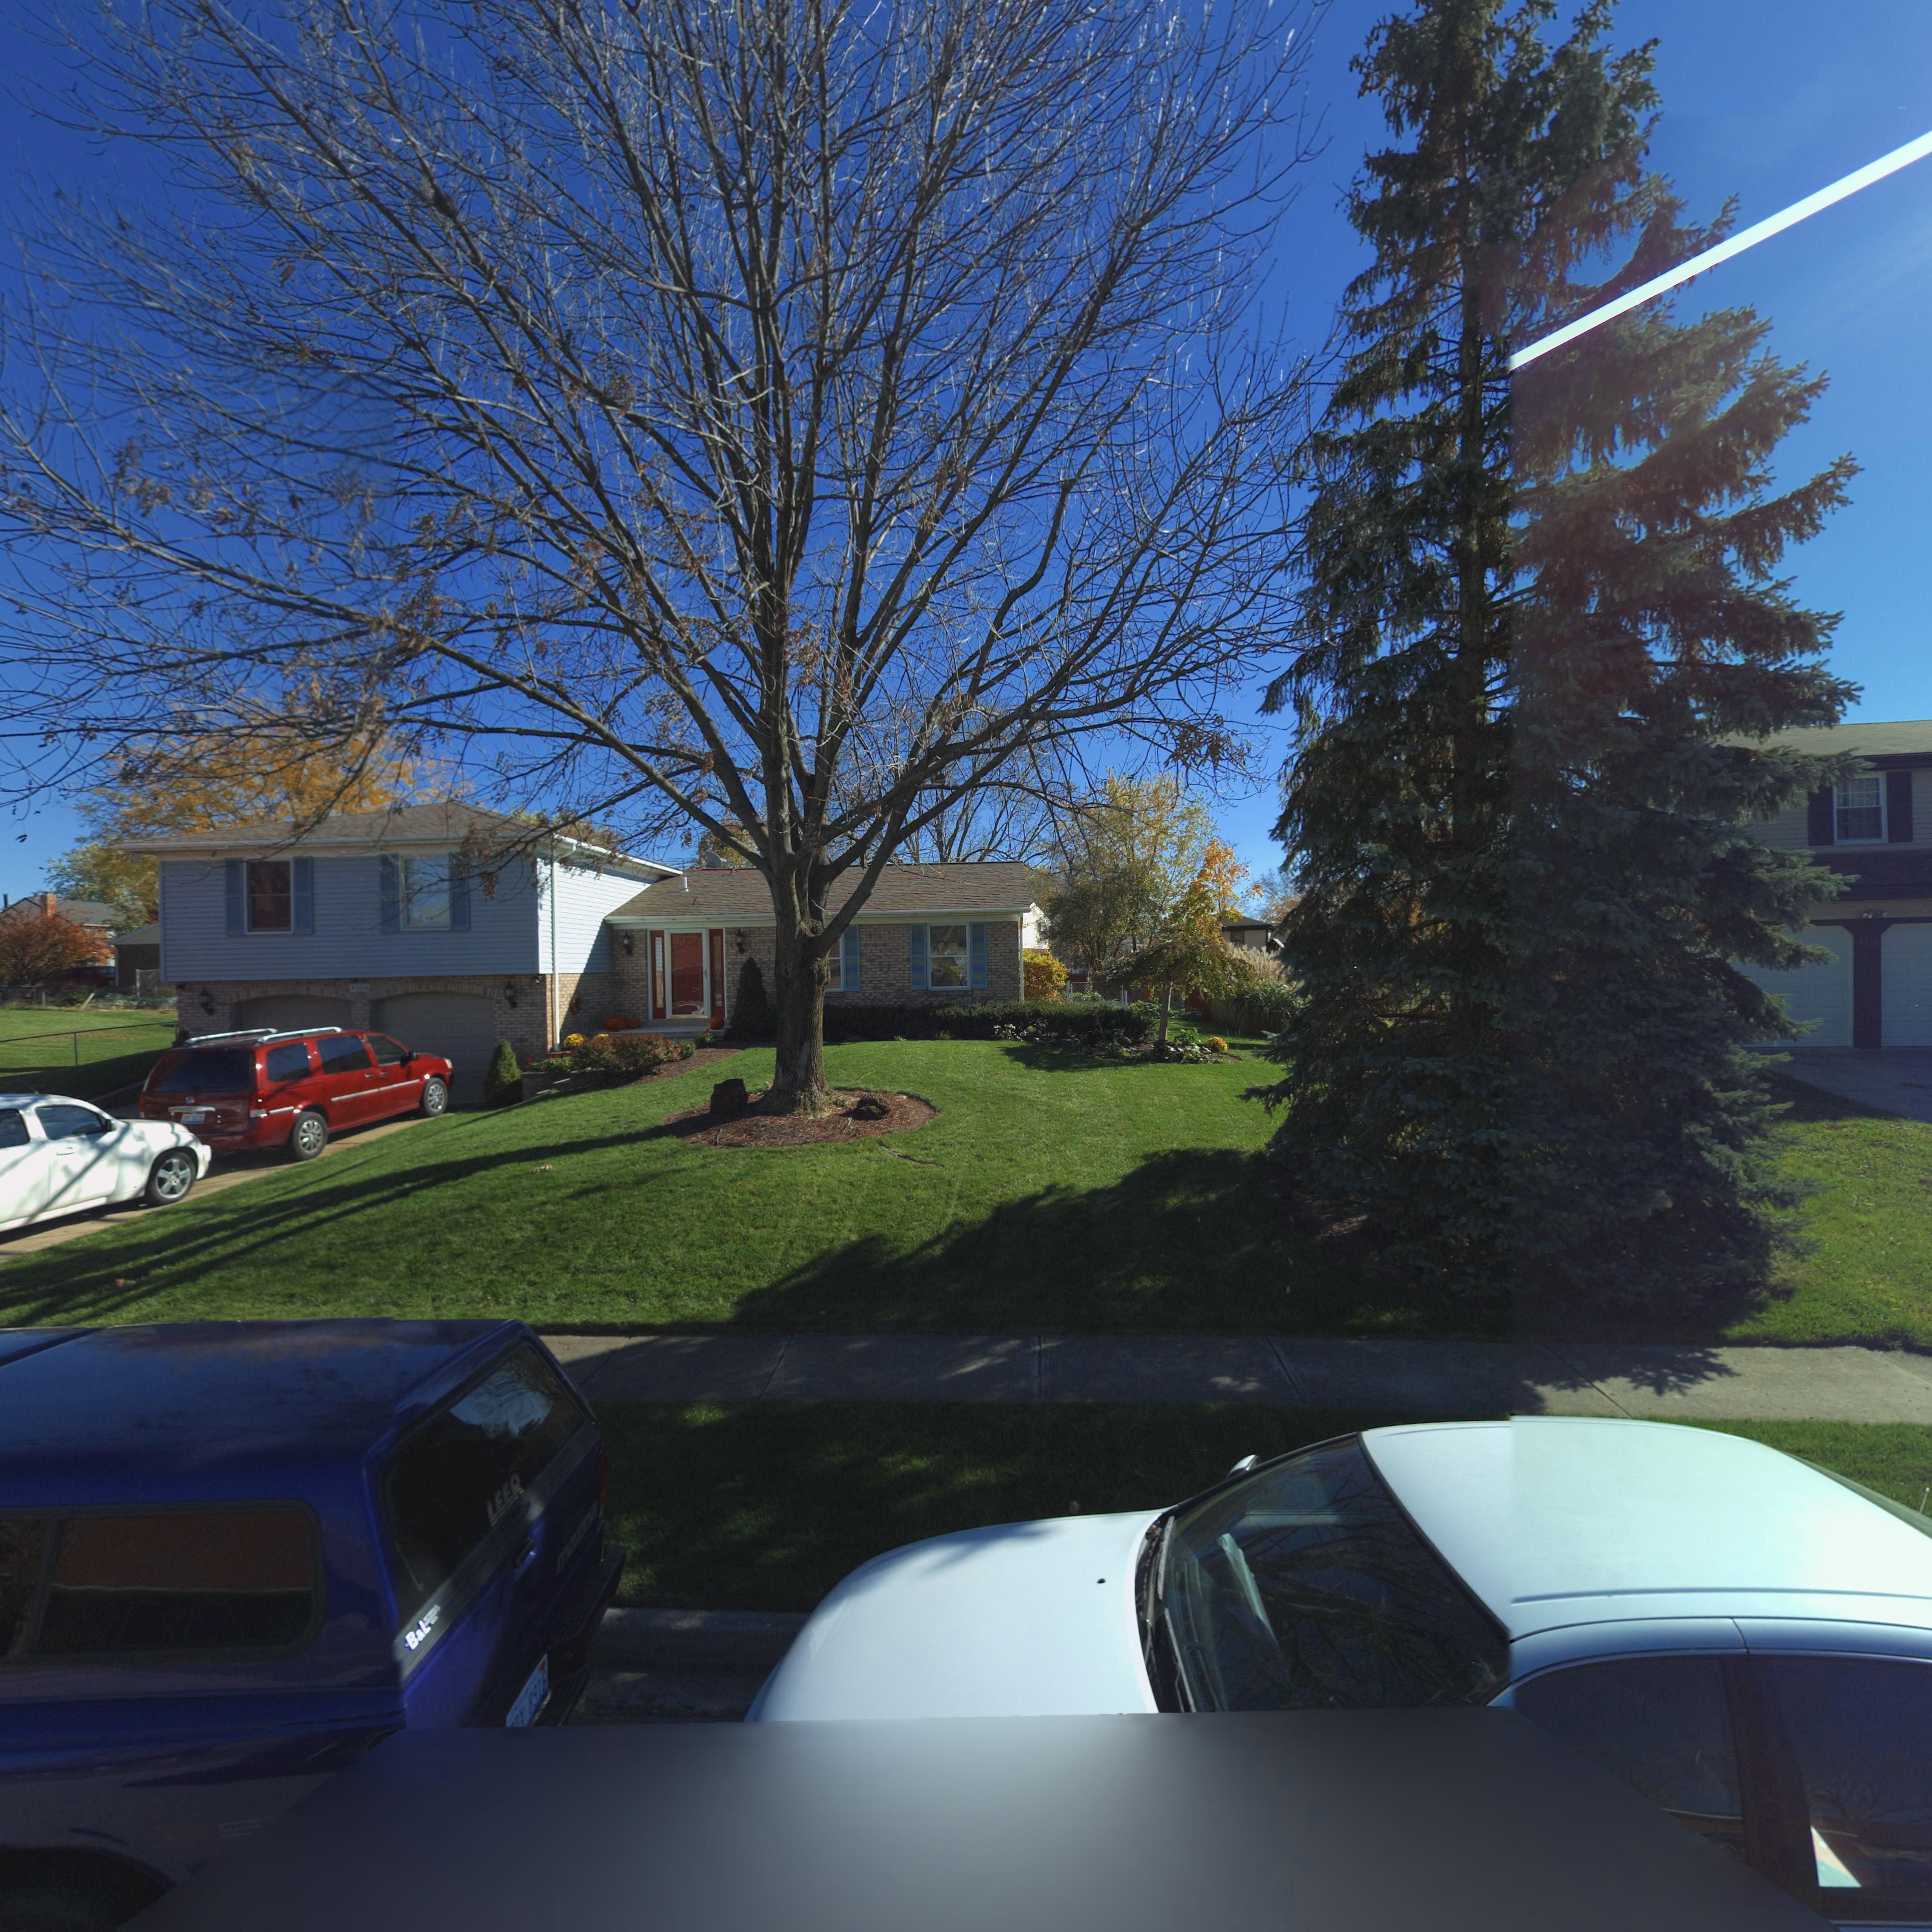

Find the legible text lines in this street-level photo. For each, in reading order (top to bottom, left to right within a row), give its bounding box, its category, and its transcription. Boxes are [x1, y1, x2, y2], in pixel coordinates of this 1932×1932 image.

[349, 984, 369, 991] StreetNumber: 410*